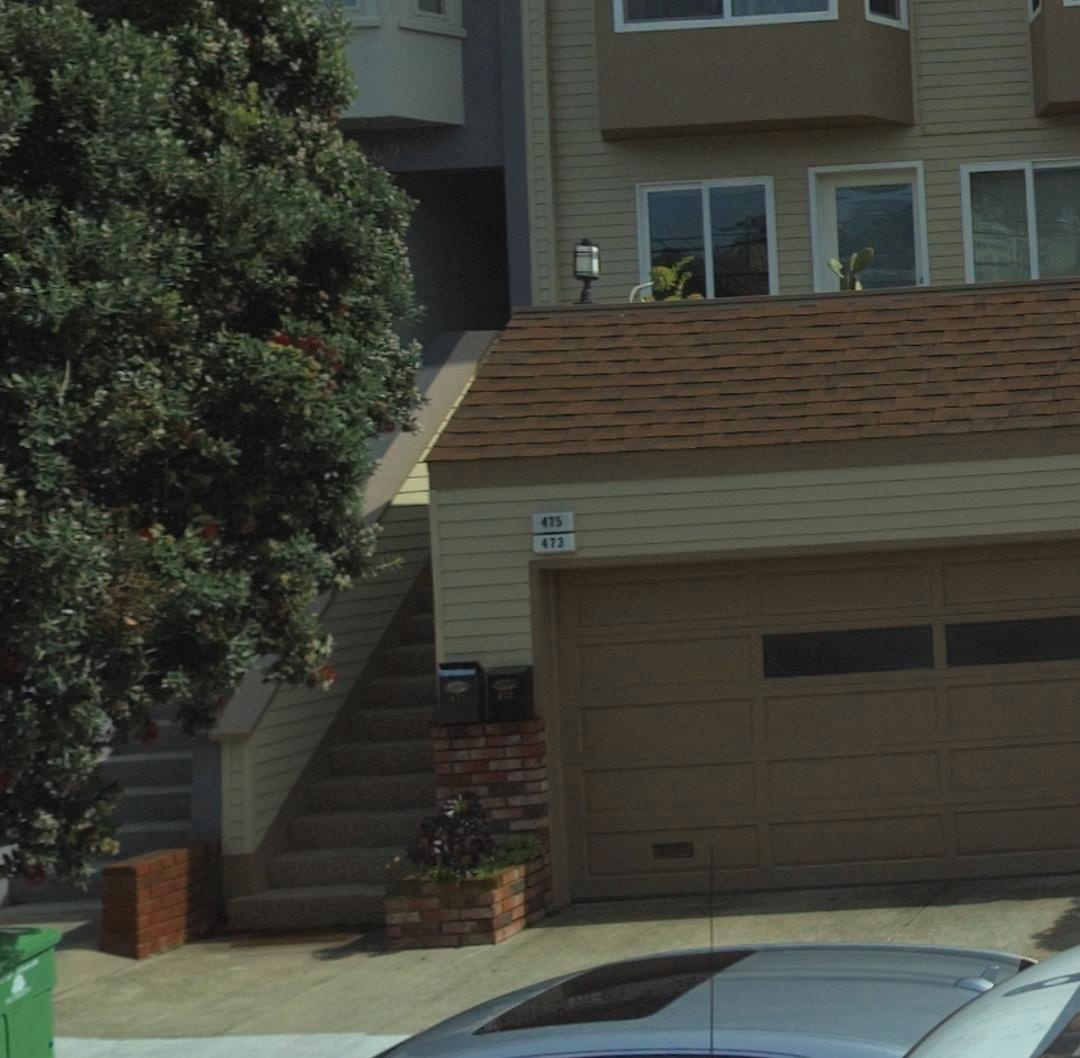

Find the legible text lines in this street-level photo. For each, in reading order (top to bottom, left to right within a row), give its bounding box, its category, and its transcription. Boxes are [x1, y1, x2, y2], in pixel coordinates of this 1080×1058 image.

[539, 514, 565, 529] StreetNumber: 475
[539, 536, 565, 550] StreetNumber: 473
[449, 692, 467, 703] StreetNumber: 473
[496, 690, 515, 701] StreetNumber: 475